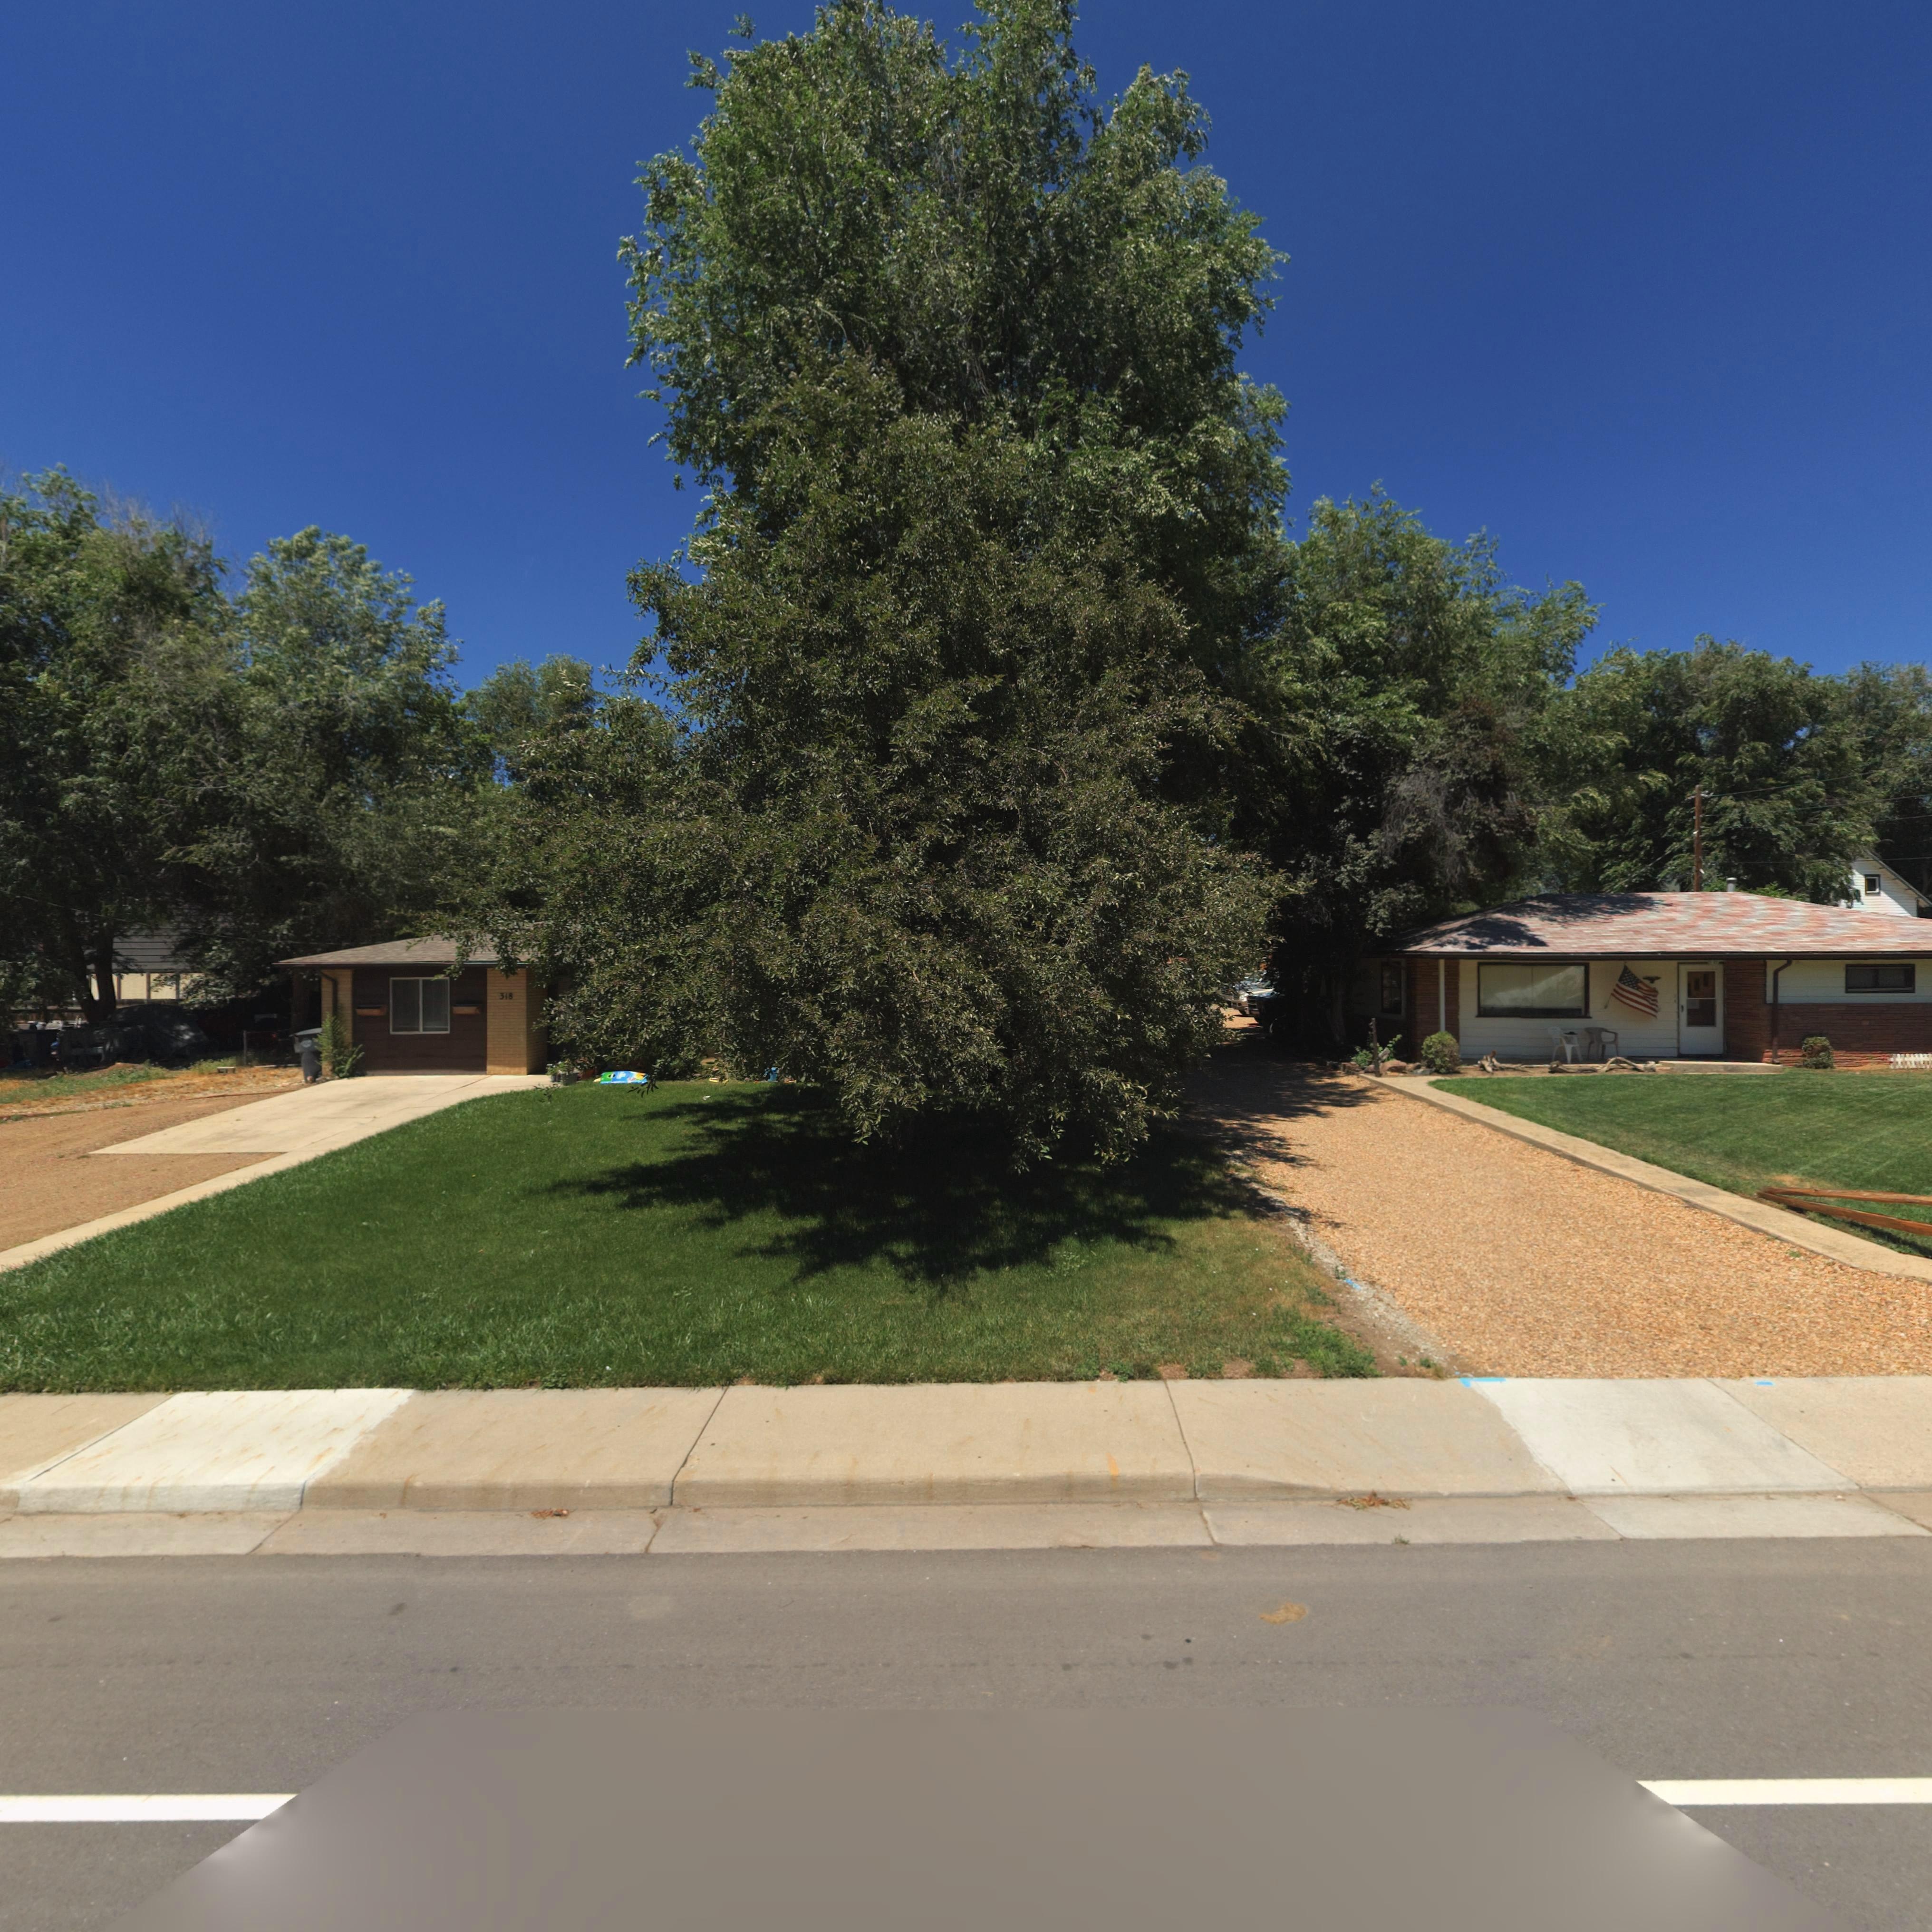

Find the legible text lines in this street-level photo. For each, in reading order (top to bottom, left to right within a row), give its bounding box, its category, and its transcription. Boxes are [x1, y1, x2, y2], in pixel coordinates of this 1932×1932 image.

[500, 992, 512, 999] StreetNumber: 318